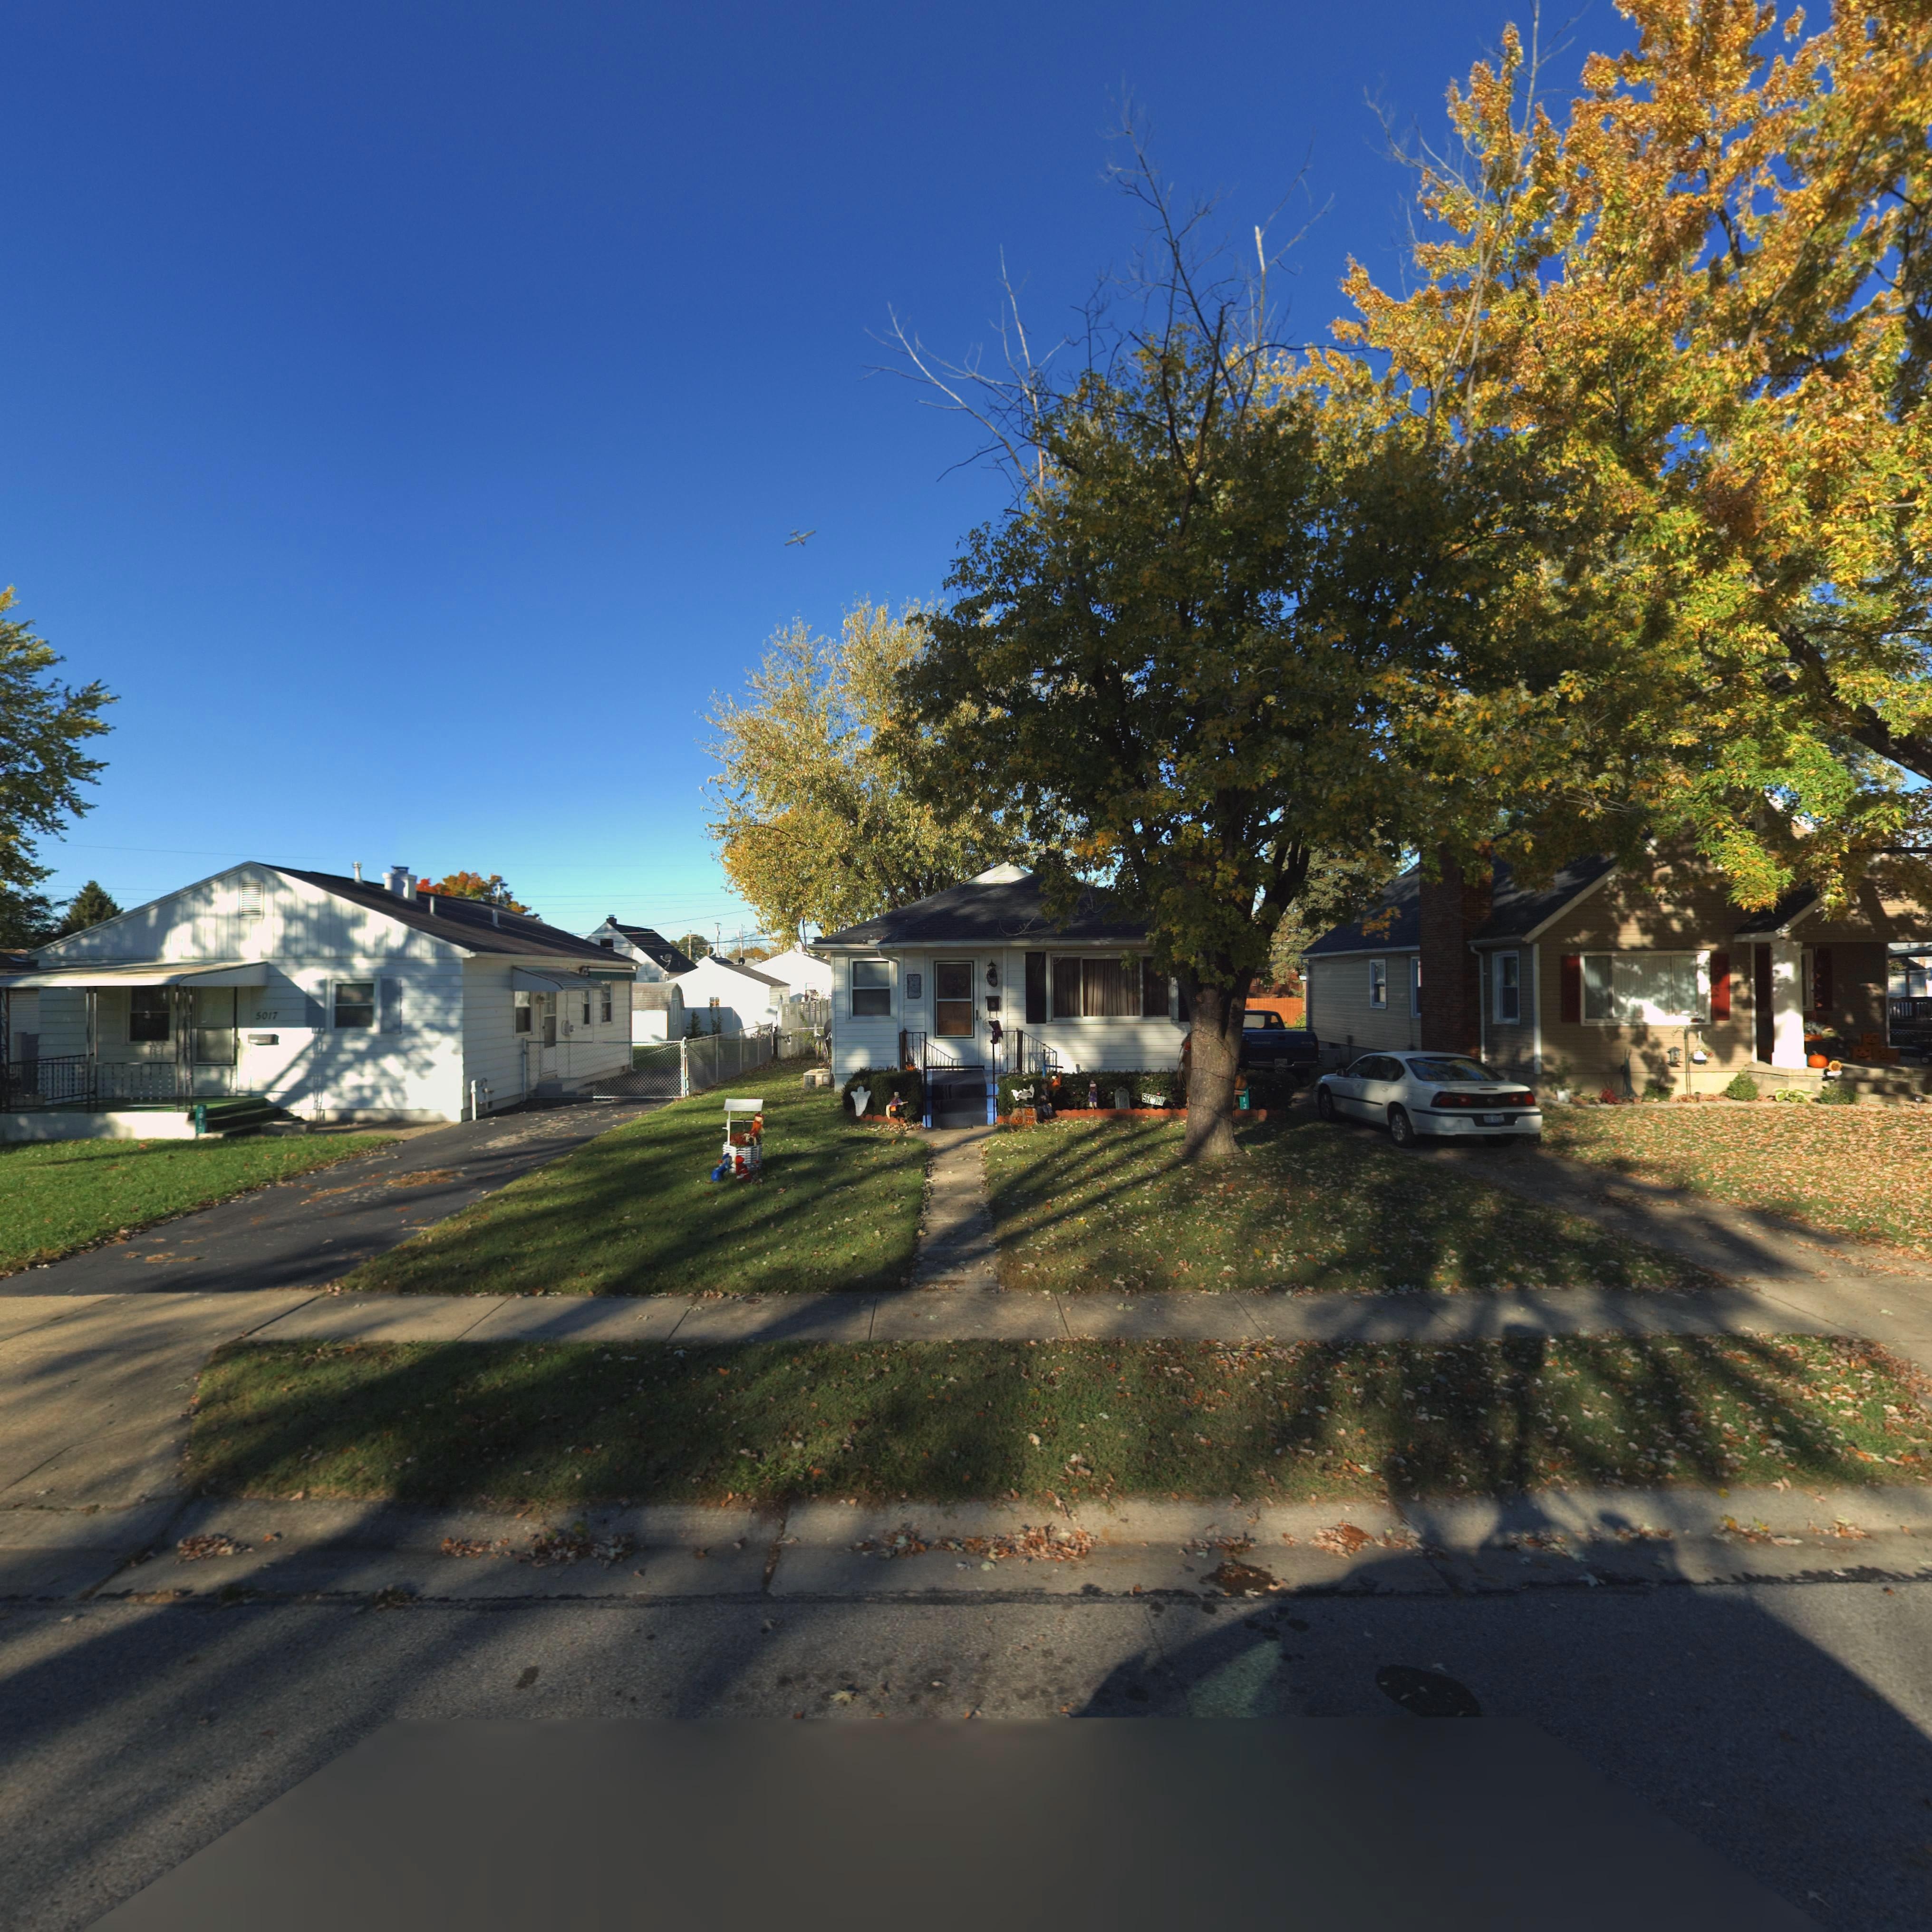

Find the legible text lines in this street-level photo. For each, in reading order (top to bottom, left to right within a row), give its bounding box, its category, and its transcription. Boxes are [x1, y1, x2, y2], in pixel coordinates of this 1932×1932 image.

[255, 1011, 279, 1020] StreetNumber: 5017
[1242, 1097, 1247, 1110] StreetNumber: 13